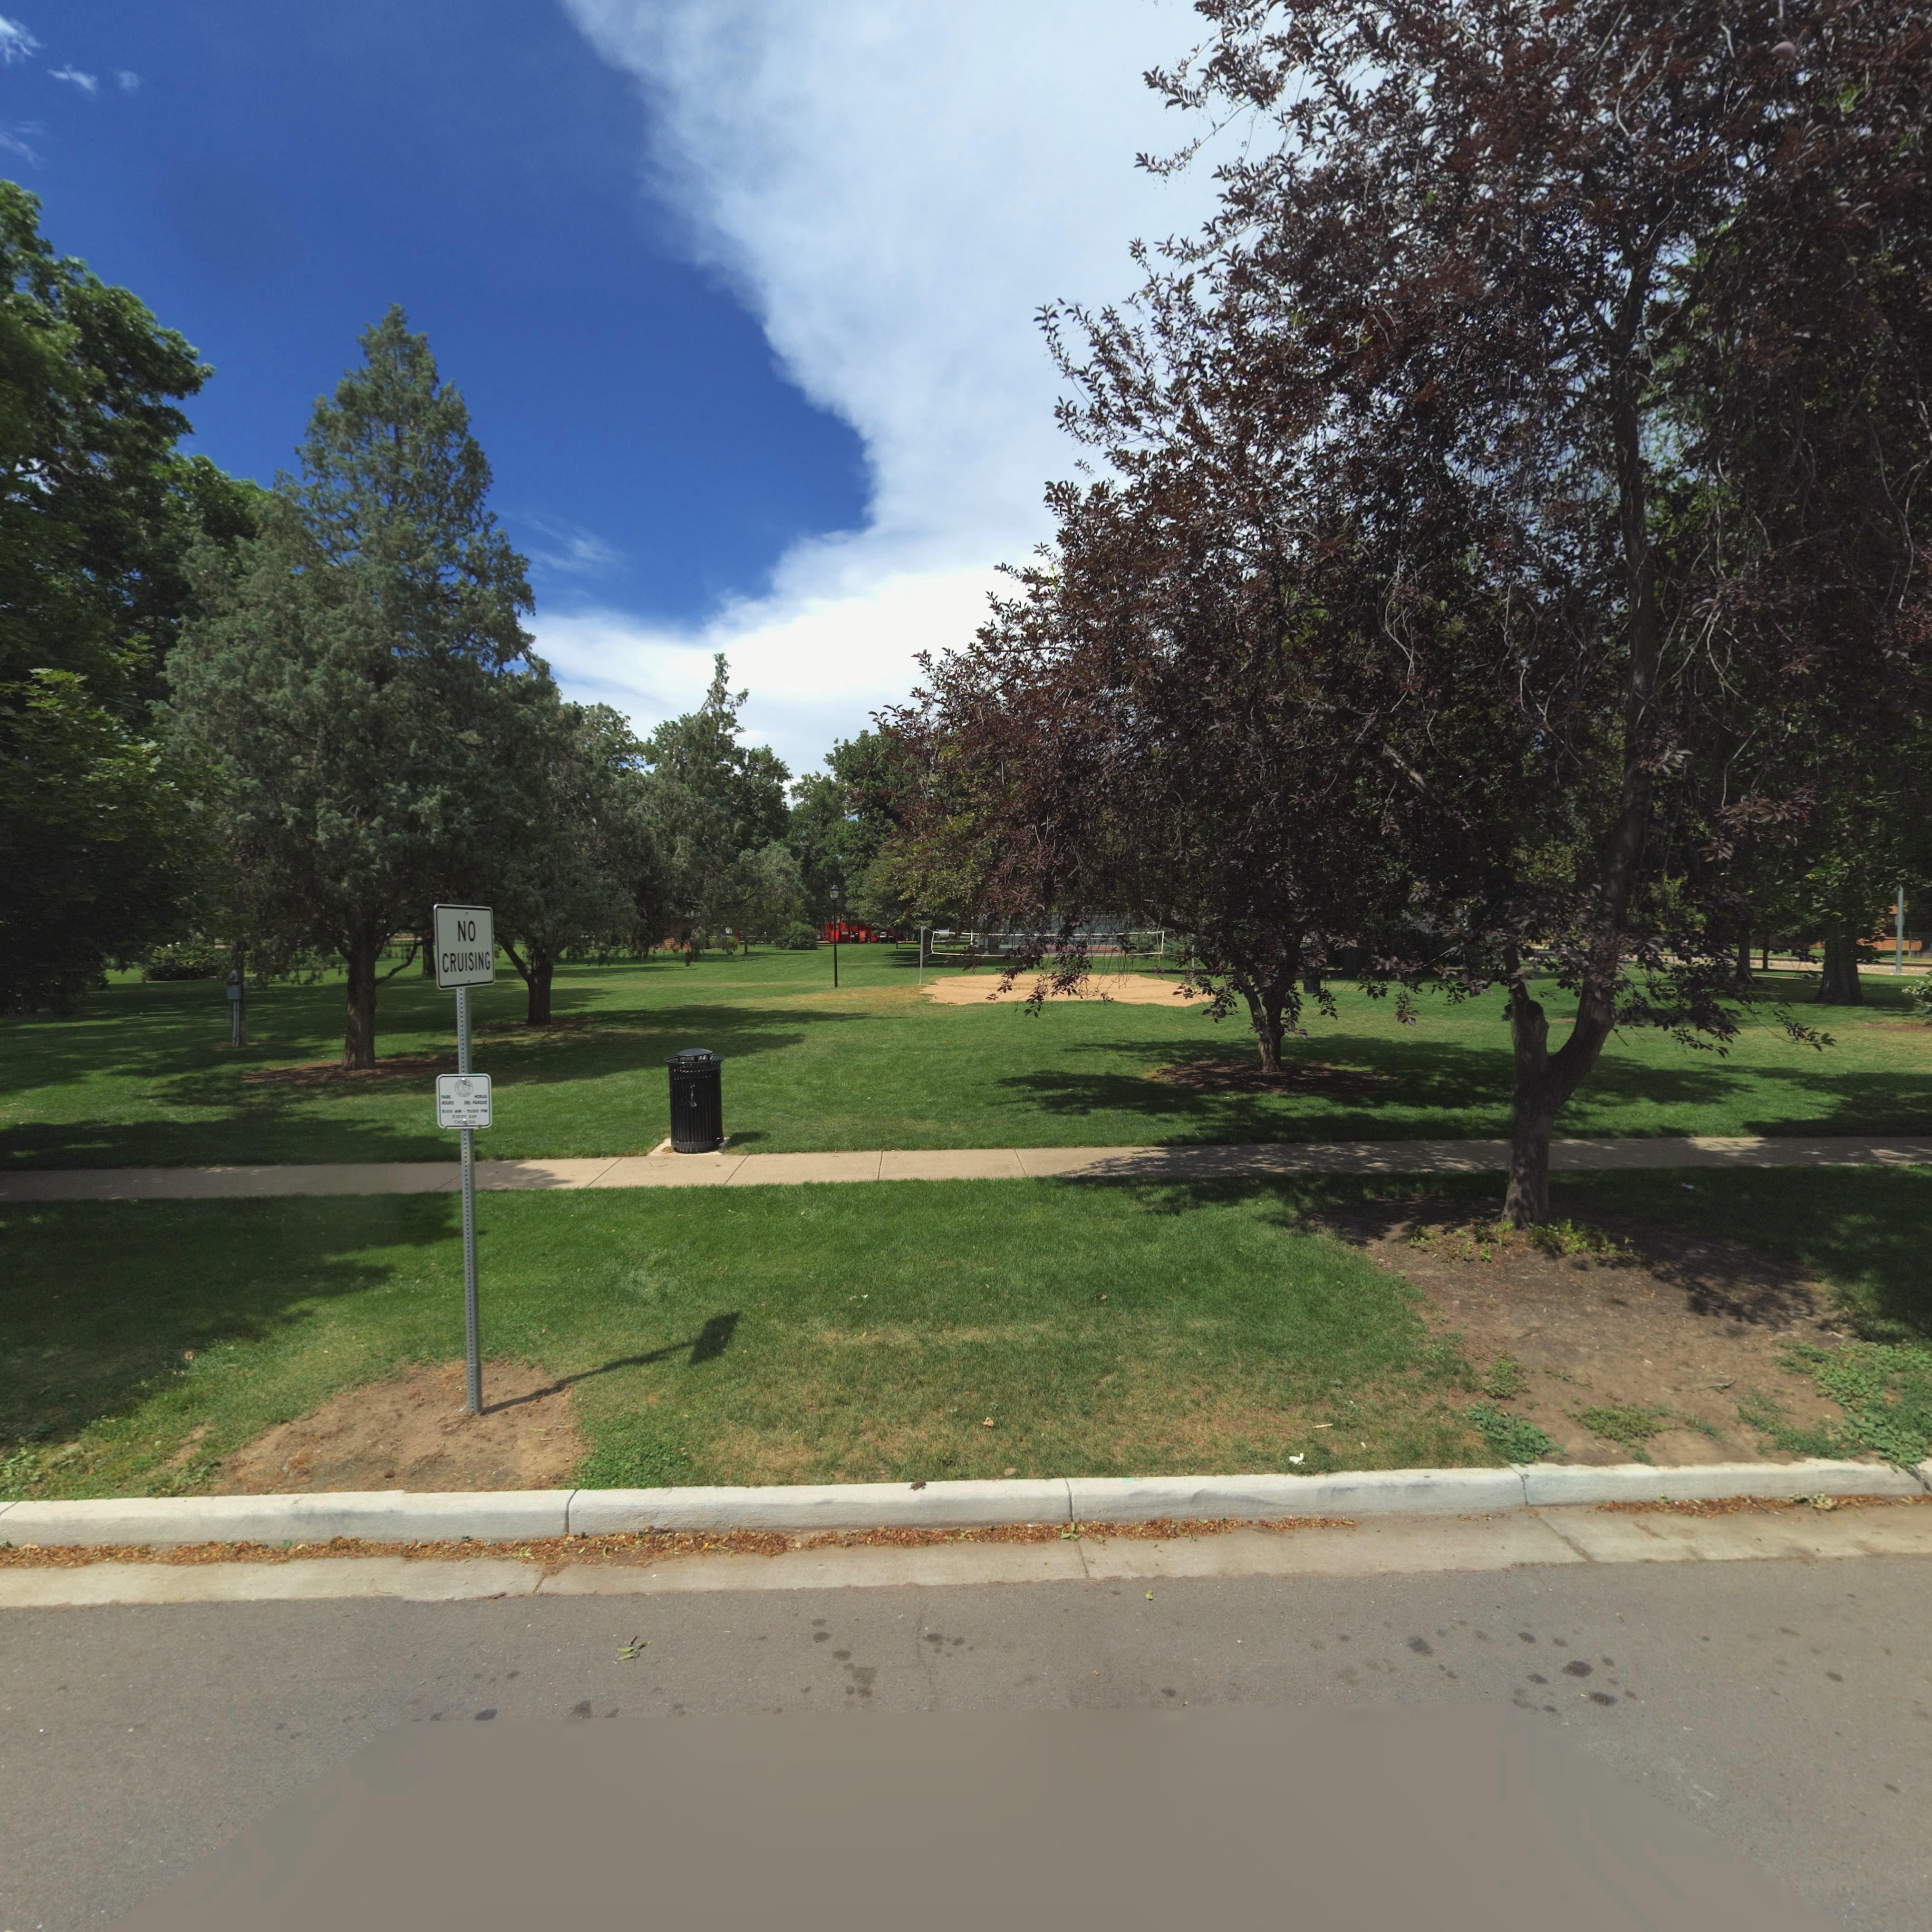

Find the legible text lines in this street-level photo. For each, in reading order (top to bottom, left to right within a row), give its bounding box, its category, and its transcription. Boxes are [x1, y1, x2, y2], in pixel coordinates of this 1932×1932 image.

[442, 951, 491, 973] BusinessName: CRUISING